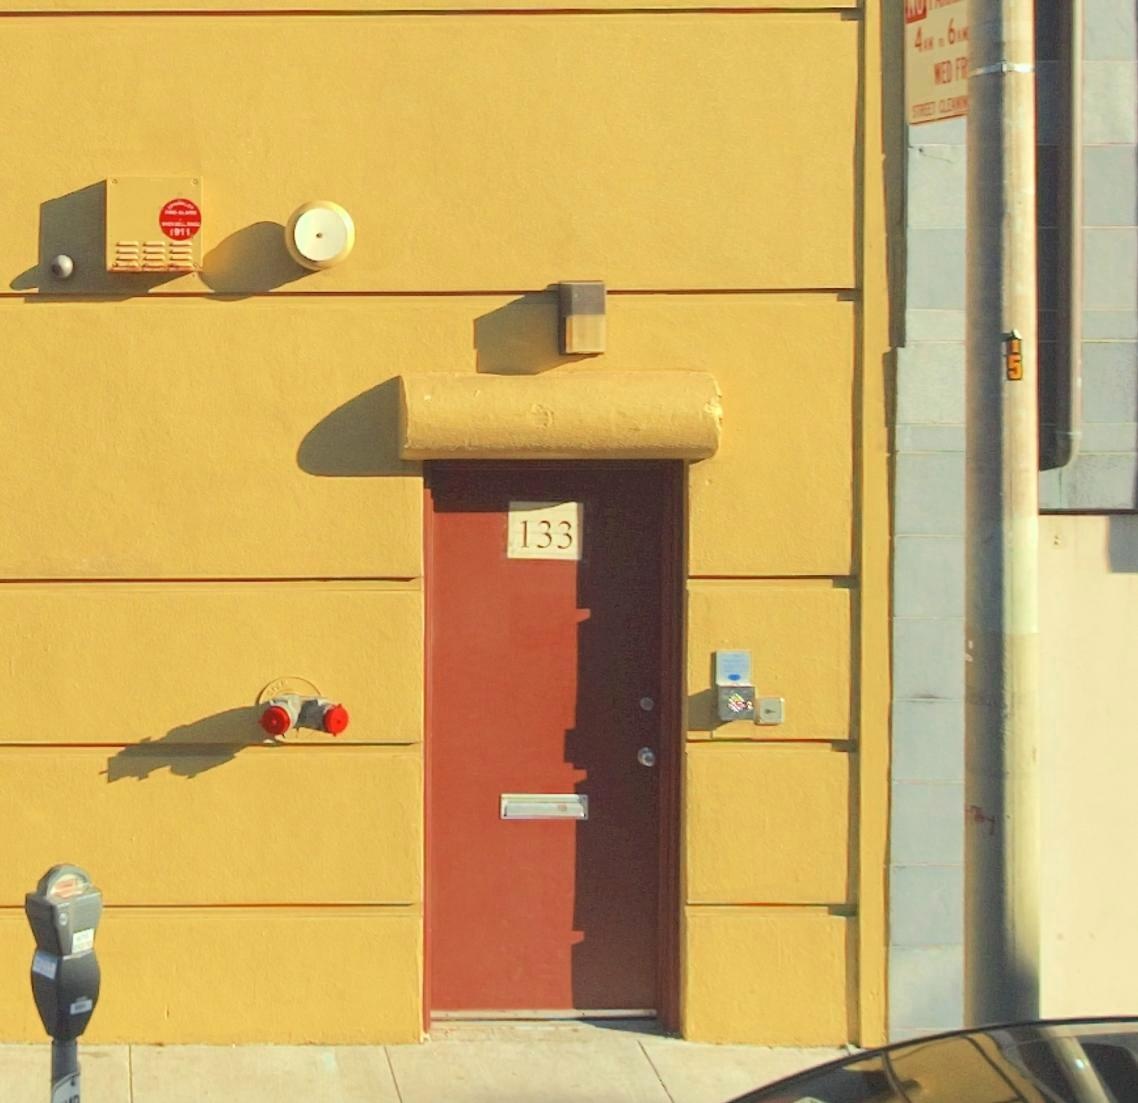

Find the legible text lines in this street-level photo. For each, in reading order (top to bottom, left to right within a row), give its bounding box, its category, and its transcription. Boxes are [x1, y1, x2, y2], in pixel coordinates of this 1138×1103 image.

[168, 227, 191, 237] None: 1911
[1006, 354, 1024, 382] None: 5
[518, 518, 573, 551] StreetNumber: 133